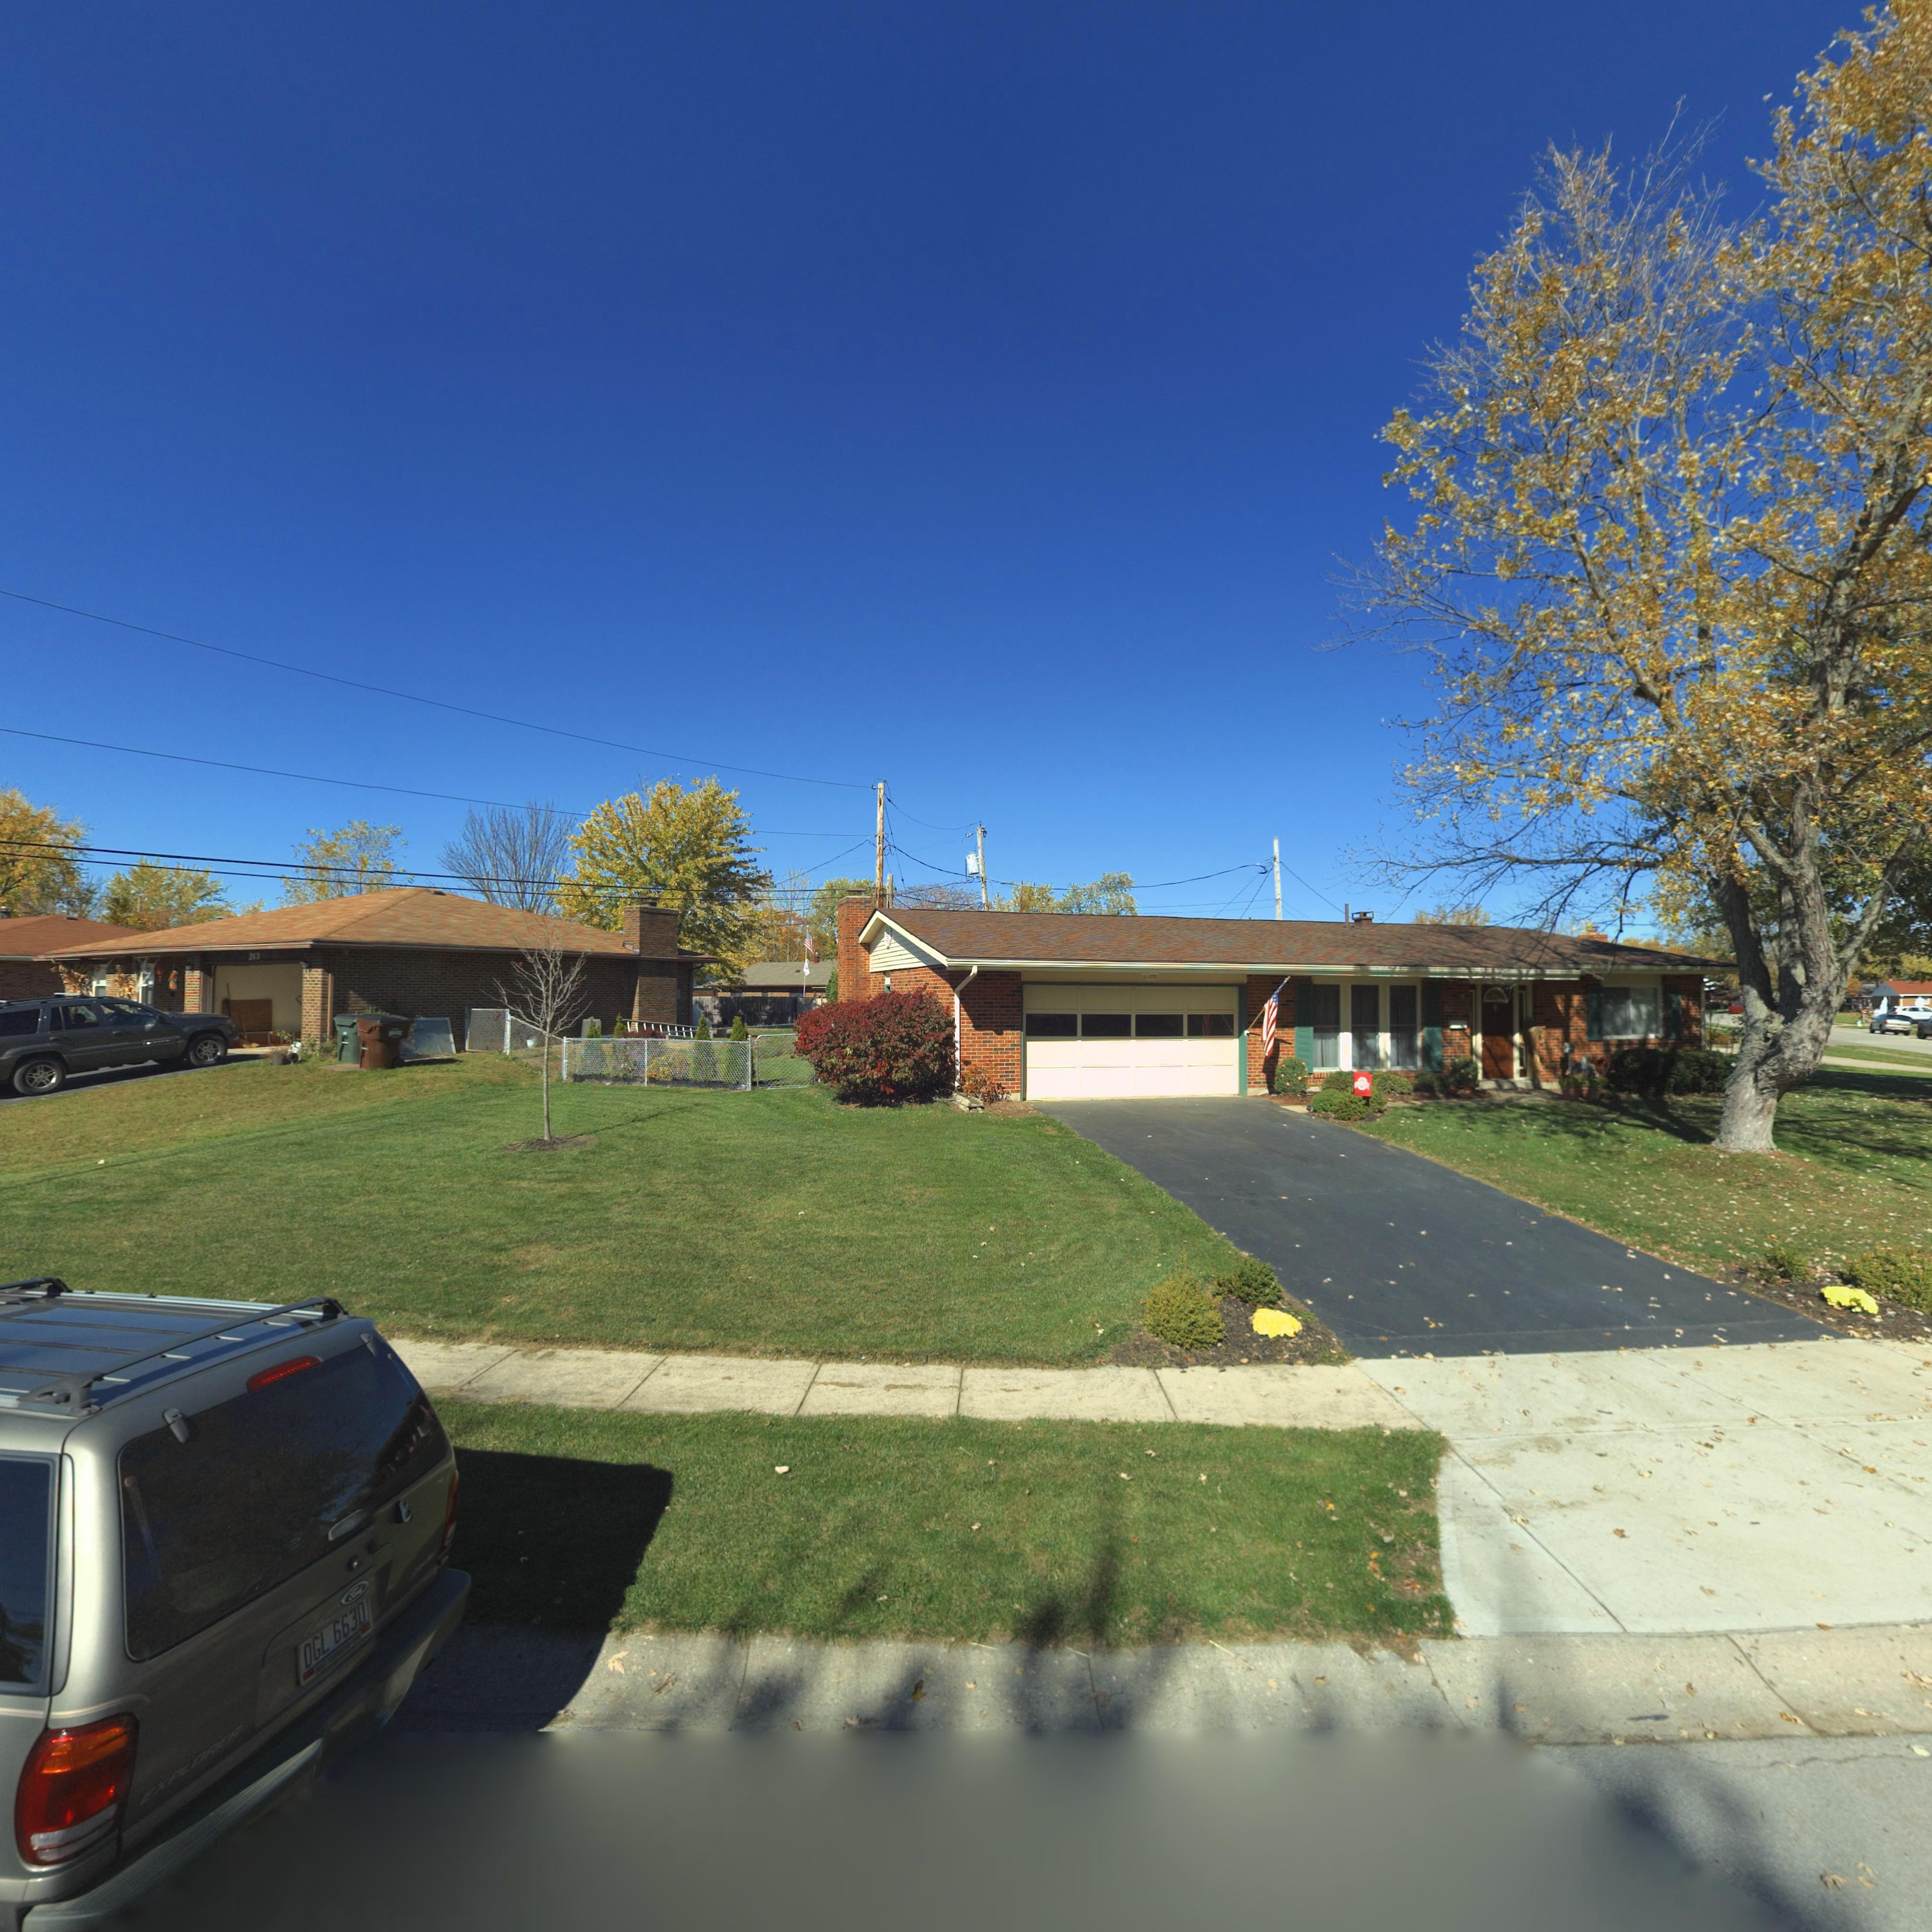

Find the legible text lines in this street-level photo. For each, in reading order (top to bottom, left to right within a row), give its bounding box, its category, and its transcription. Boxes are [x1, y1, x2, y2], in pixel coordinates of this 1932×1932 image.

[248, 952, 261, 961] StreetNumber: 213